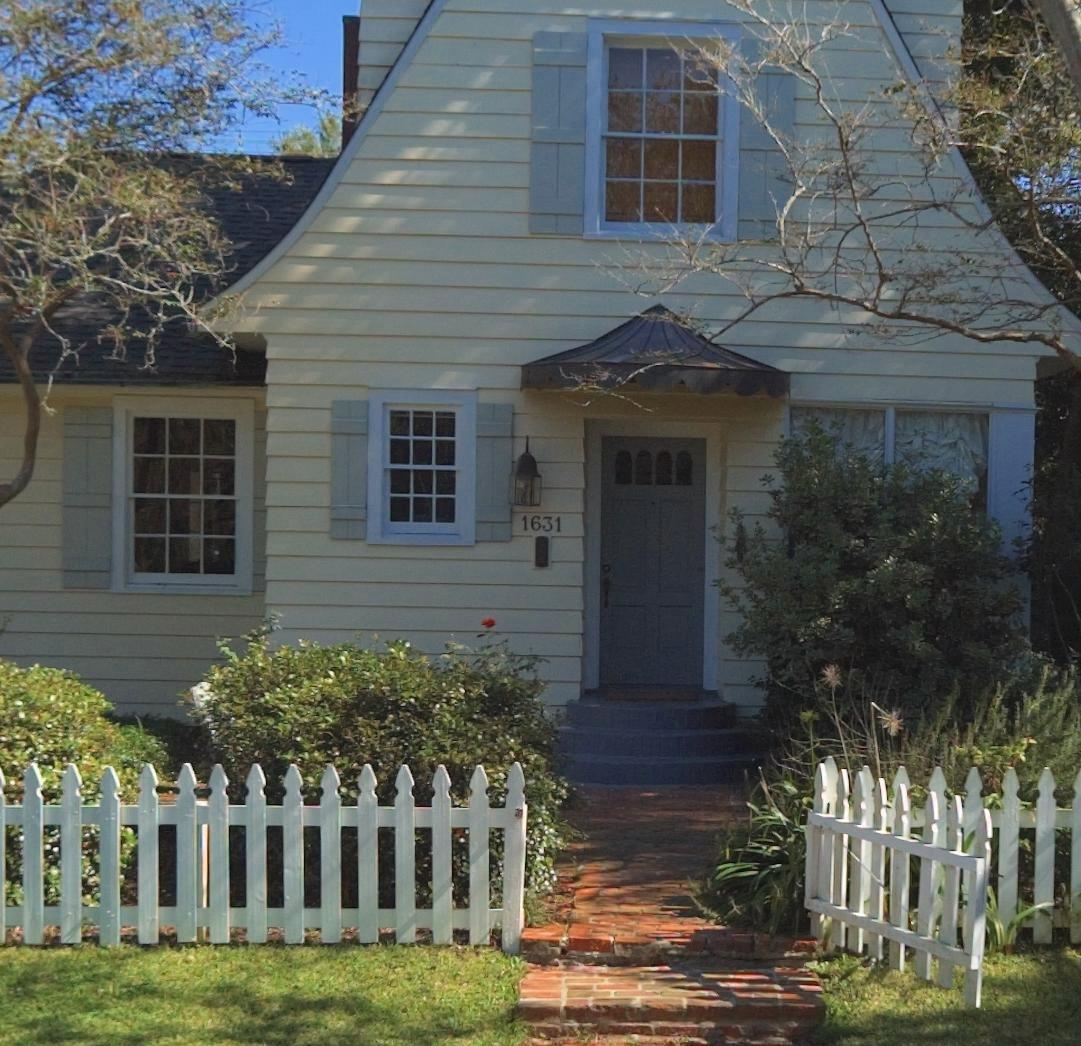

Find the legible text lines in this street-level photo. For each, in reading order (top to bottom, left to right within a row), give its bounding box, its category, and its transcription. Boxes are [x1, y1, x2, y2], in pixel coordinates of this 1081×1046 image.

[519, 513, 563, 535] StreetNumber: 1631